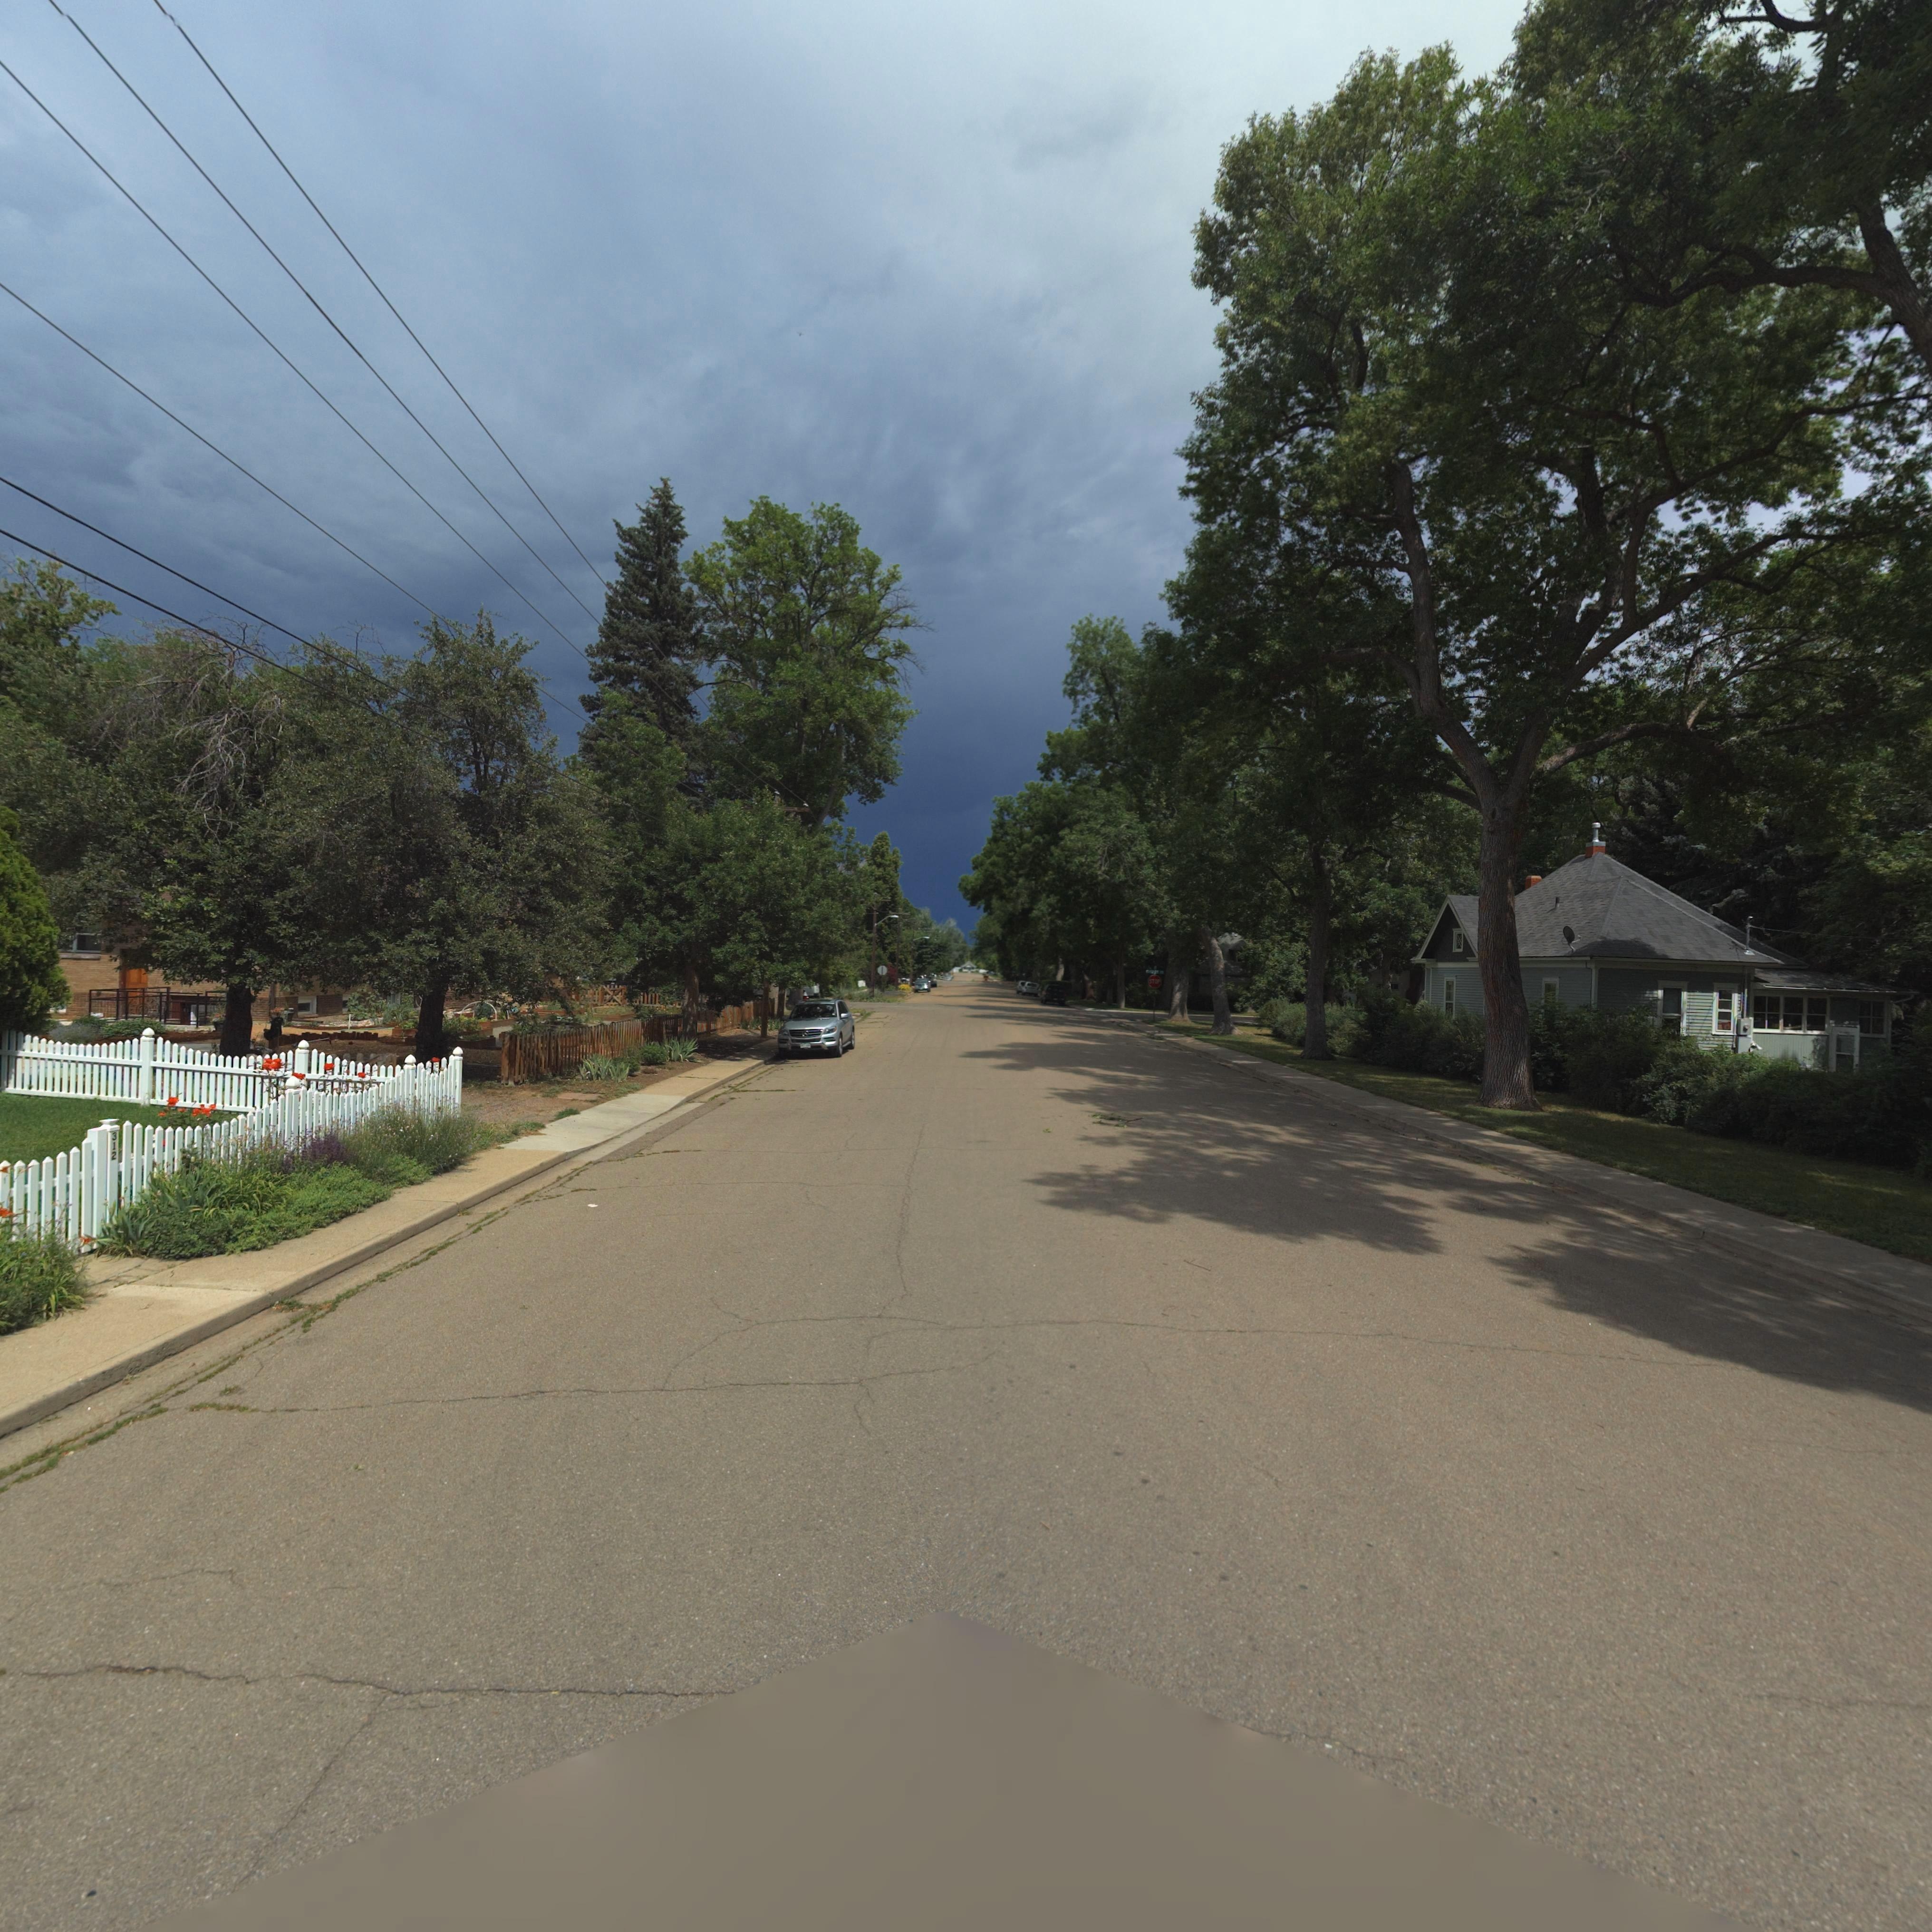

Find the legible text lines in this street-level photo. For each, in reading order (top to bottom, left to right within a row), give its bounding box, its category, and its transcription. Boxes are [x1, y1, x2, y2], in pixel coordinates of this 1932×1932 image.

[111, 1131, 116, 1161] StreetNumber: 312